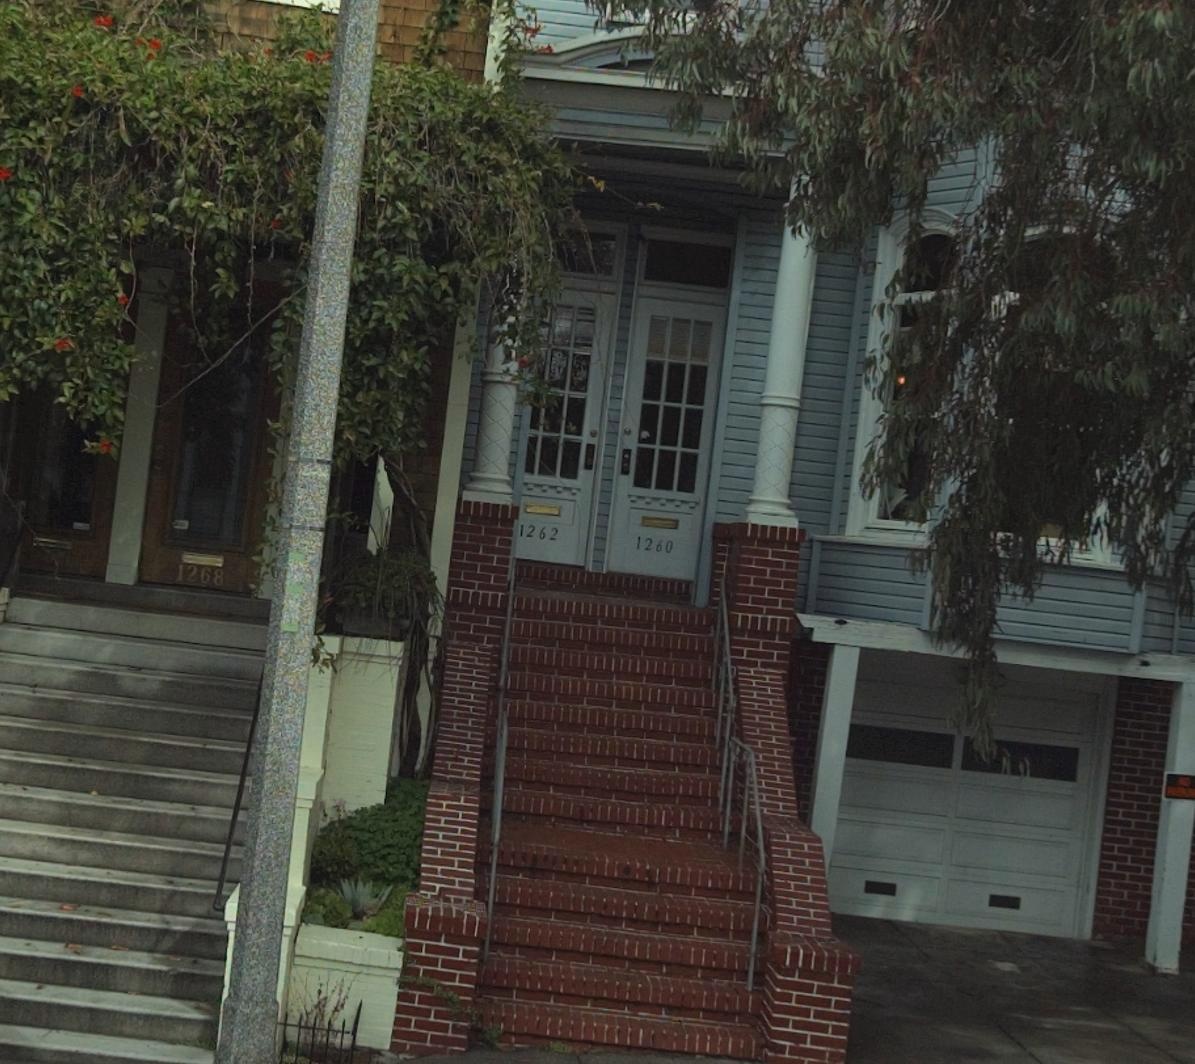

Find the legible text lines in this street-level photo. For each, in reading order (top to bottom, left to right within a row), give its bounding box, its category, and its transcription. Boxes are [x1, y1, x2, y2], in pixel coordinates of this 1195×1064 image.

[516, 521, 562, 544] StreetNumber: 1262
[632, 533, 677, 557] StreetNumber: 1260
[174, 559, 227, 589] StreetNumber: 1268